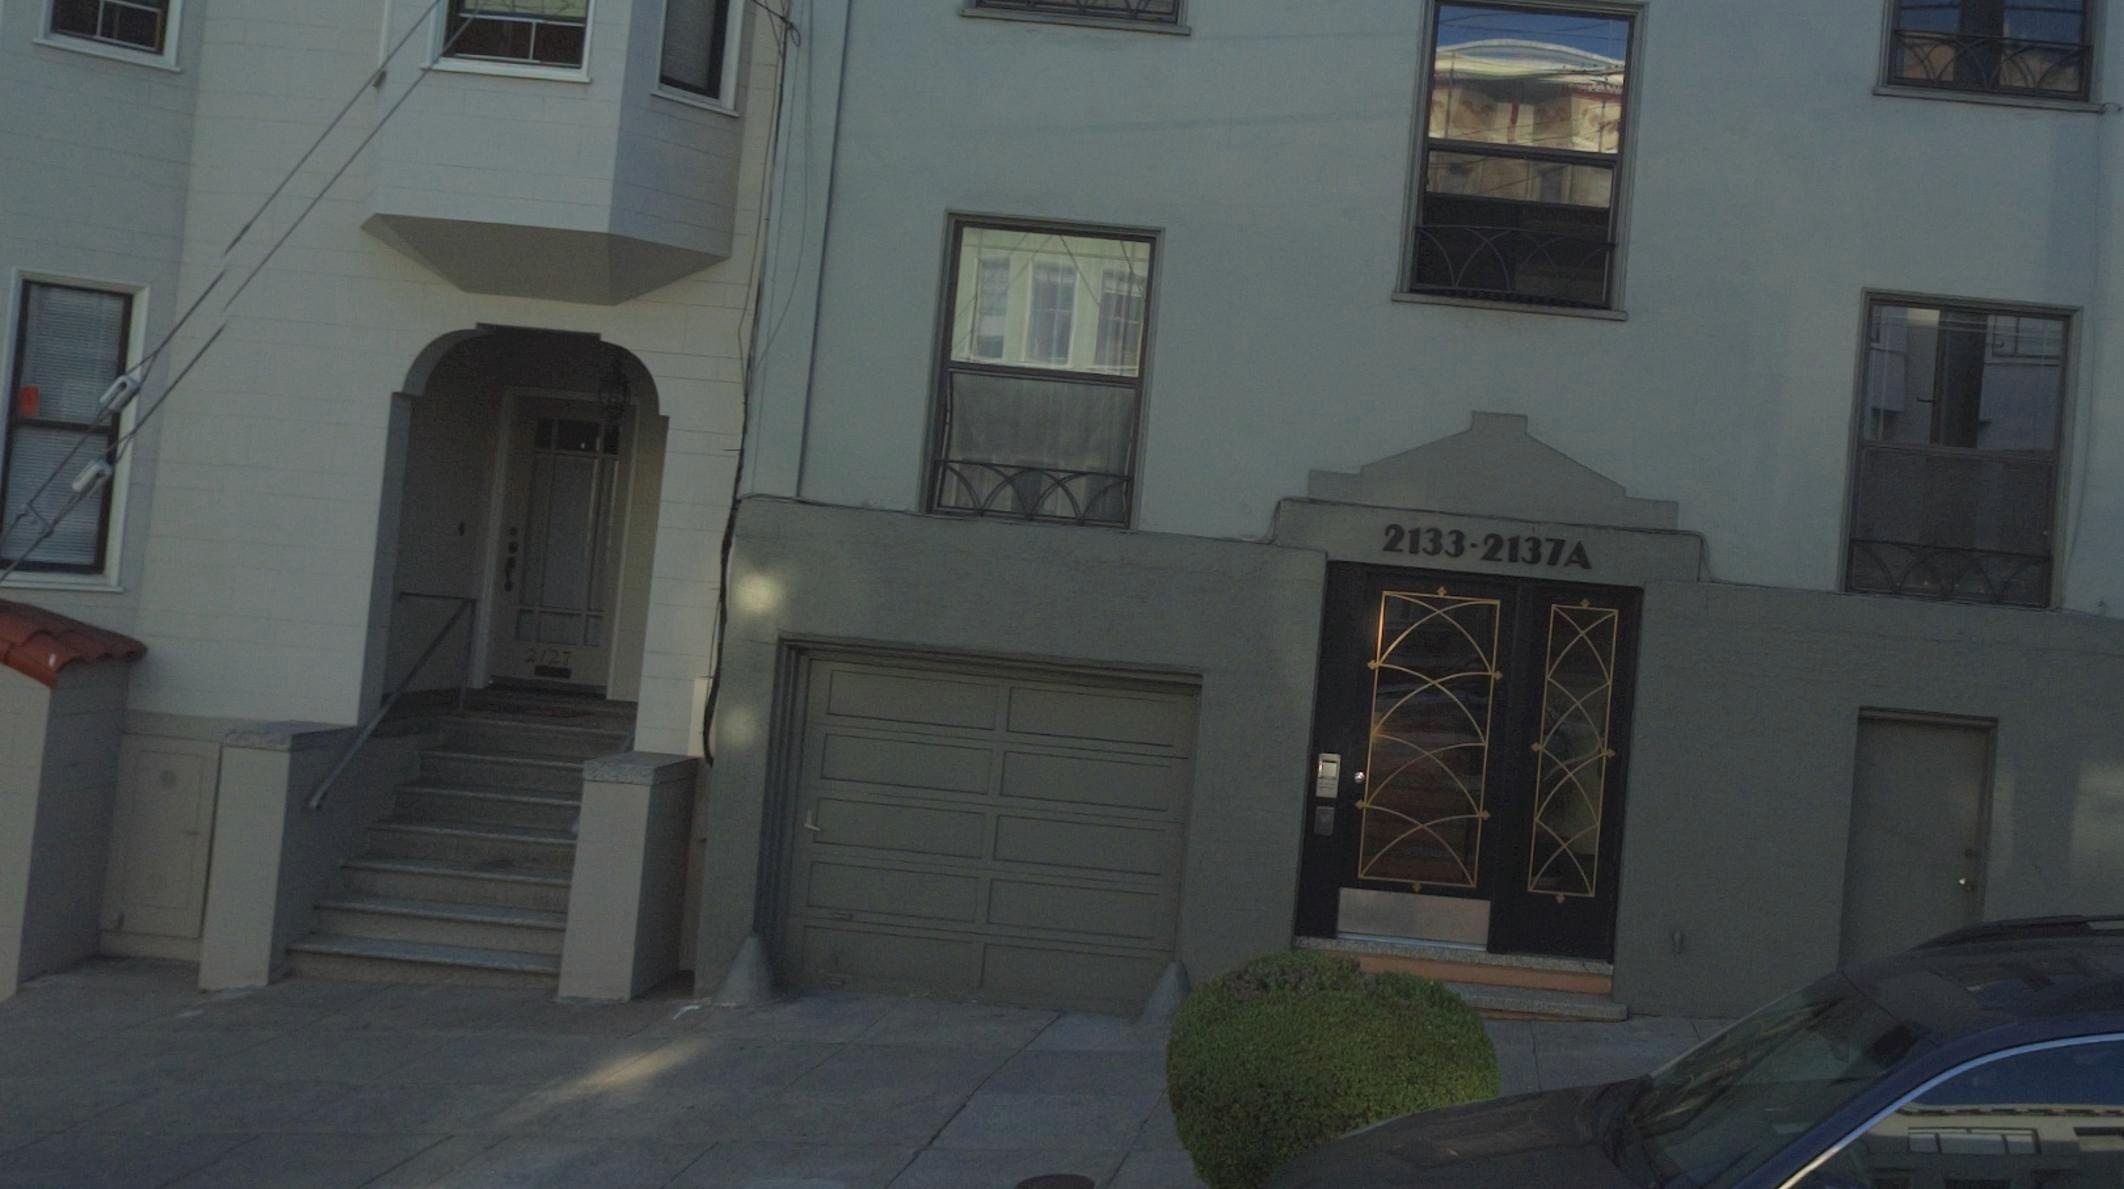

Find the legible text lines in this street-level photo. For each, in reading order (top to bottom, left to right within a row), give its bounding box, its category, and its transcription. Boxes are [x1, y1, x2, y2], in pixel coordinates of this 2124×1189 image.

[1376, 520, 1596, 573] StreetNumber: 2133-2137A
[524, 645, 574, 669] StreetNumber: 2127